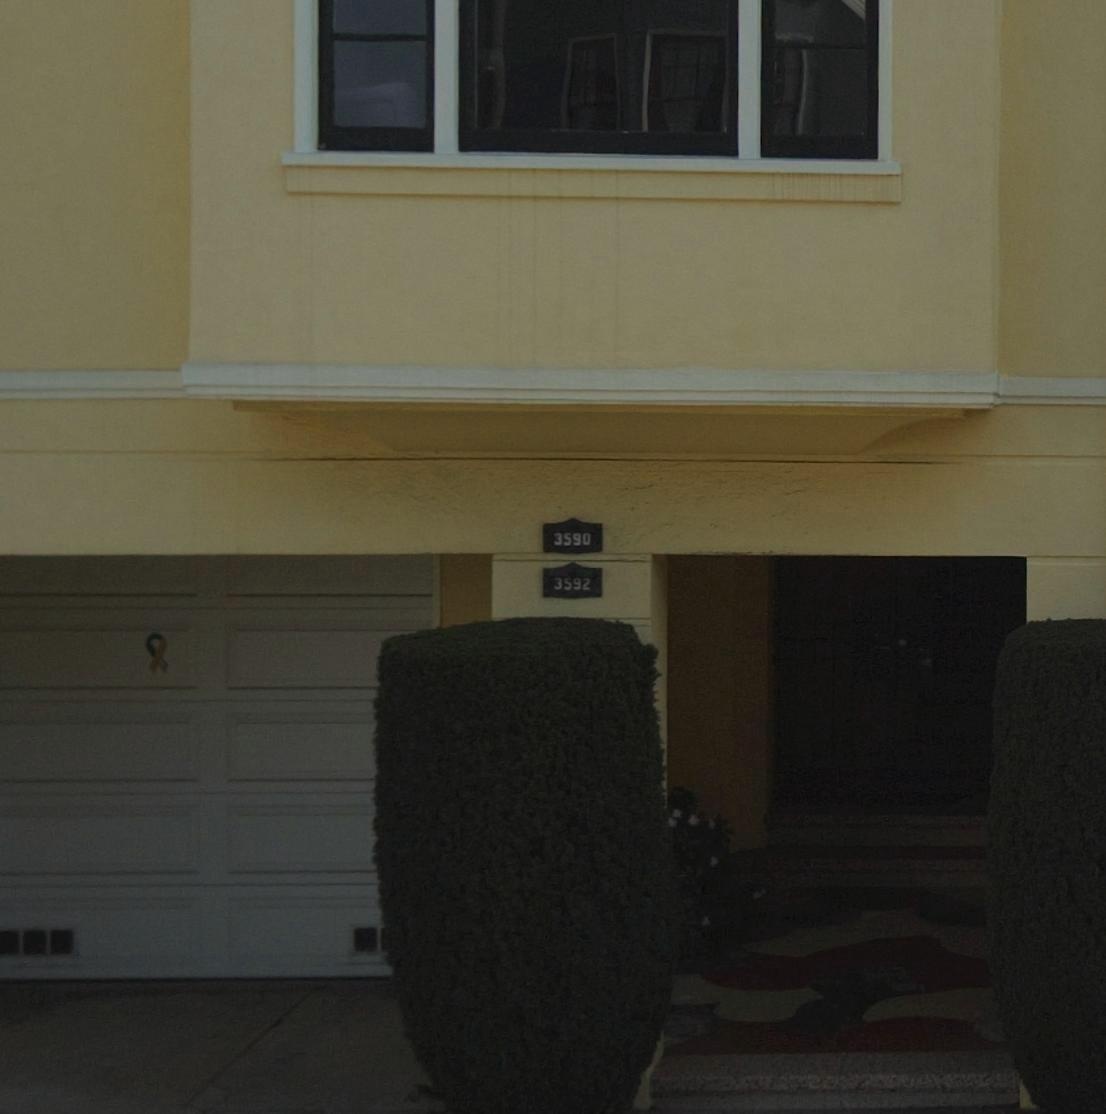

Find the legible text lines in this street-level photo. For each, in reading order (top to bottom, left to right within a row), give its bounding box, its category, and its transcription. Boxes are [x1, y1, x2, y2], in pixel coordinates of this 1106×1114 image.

[551, 530, 594, 549] StreetNumber: 3590
[552, 575, 592, 593] StreetNumber: 3592